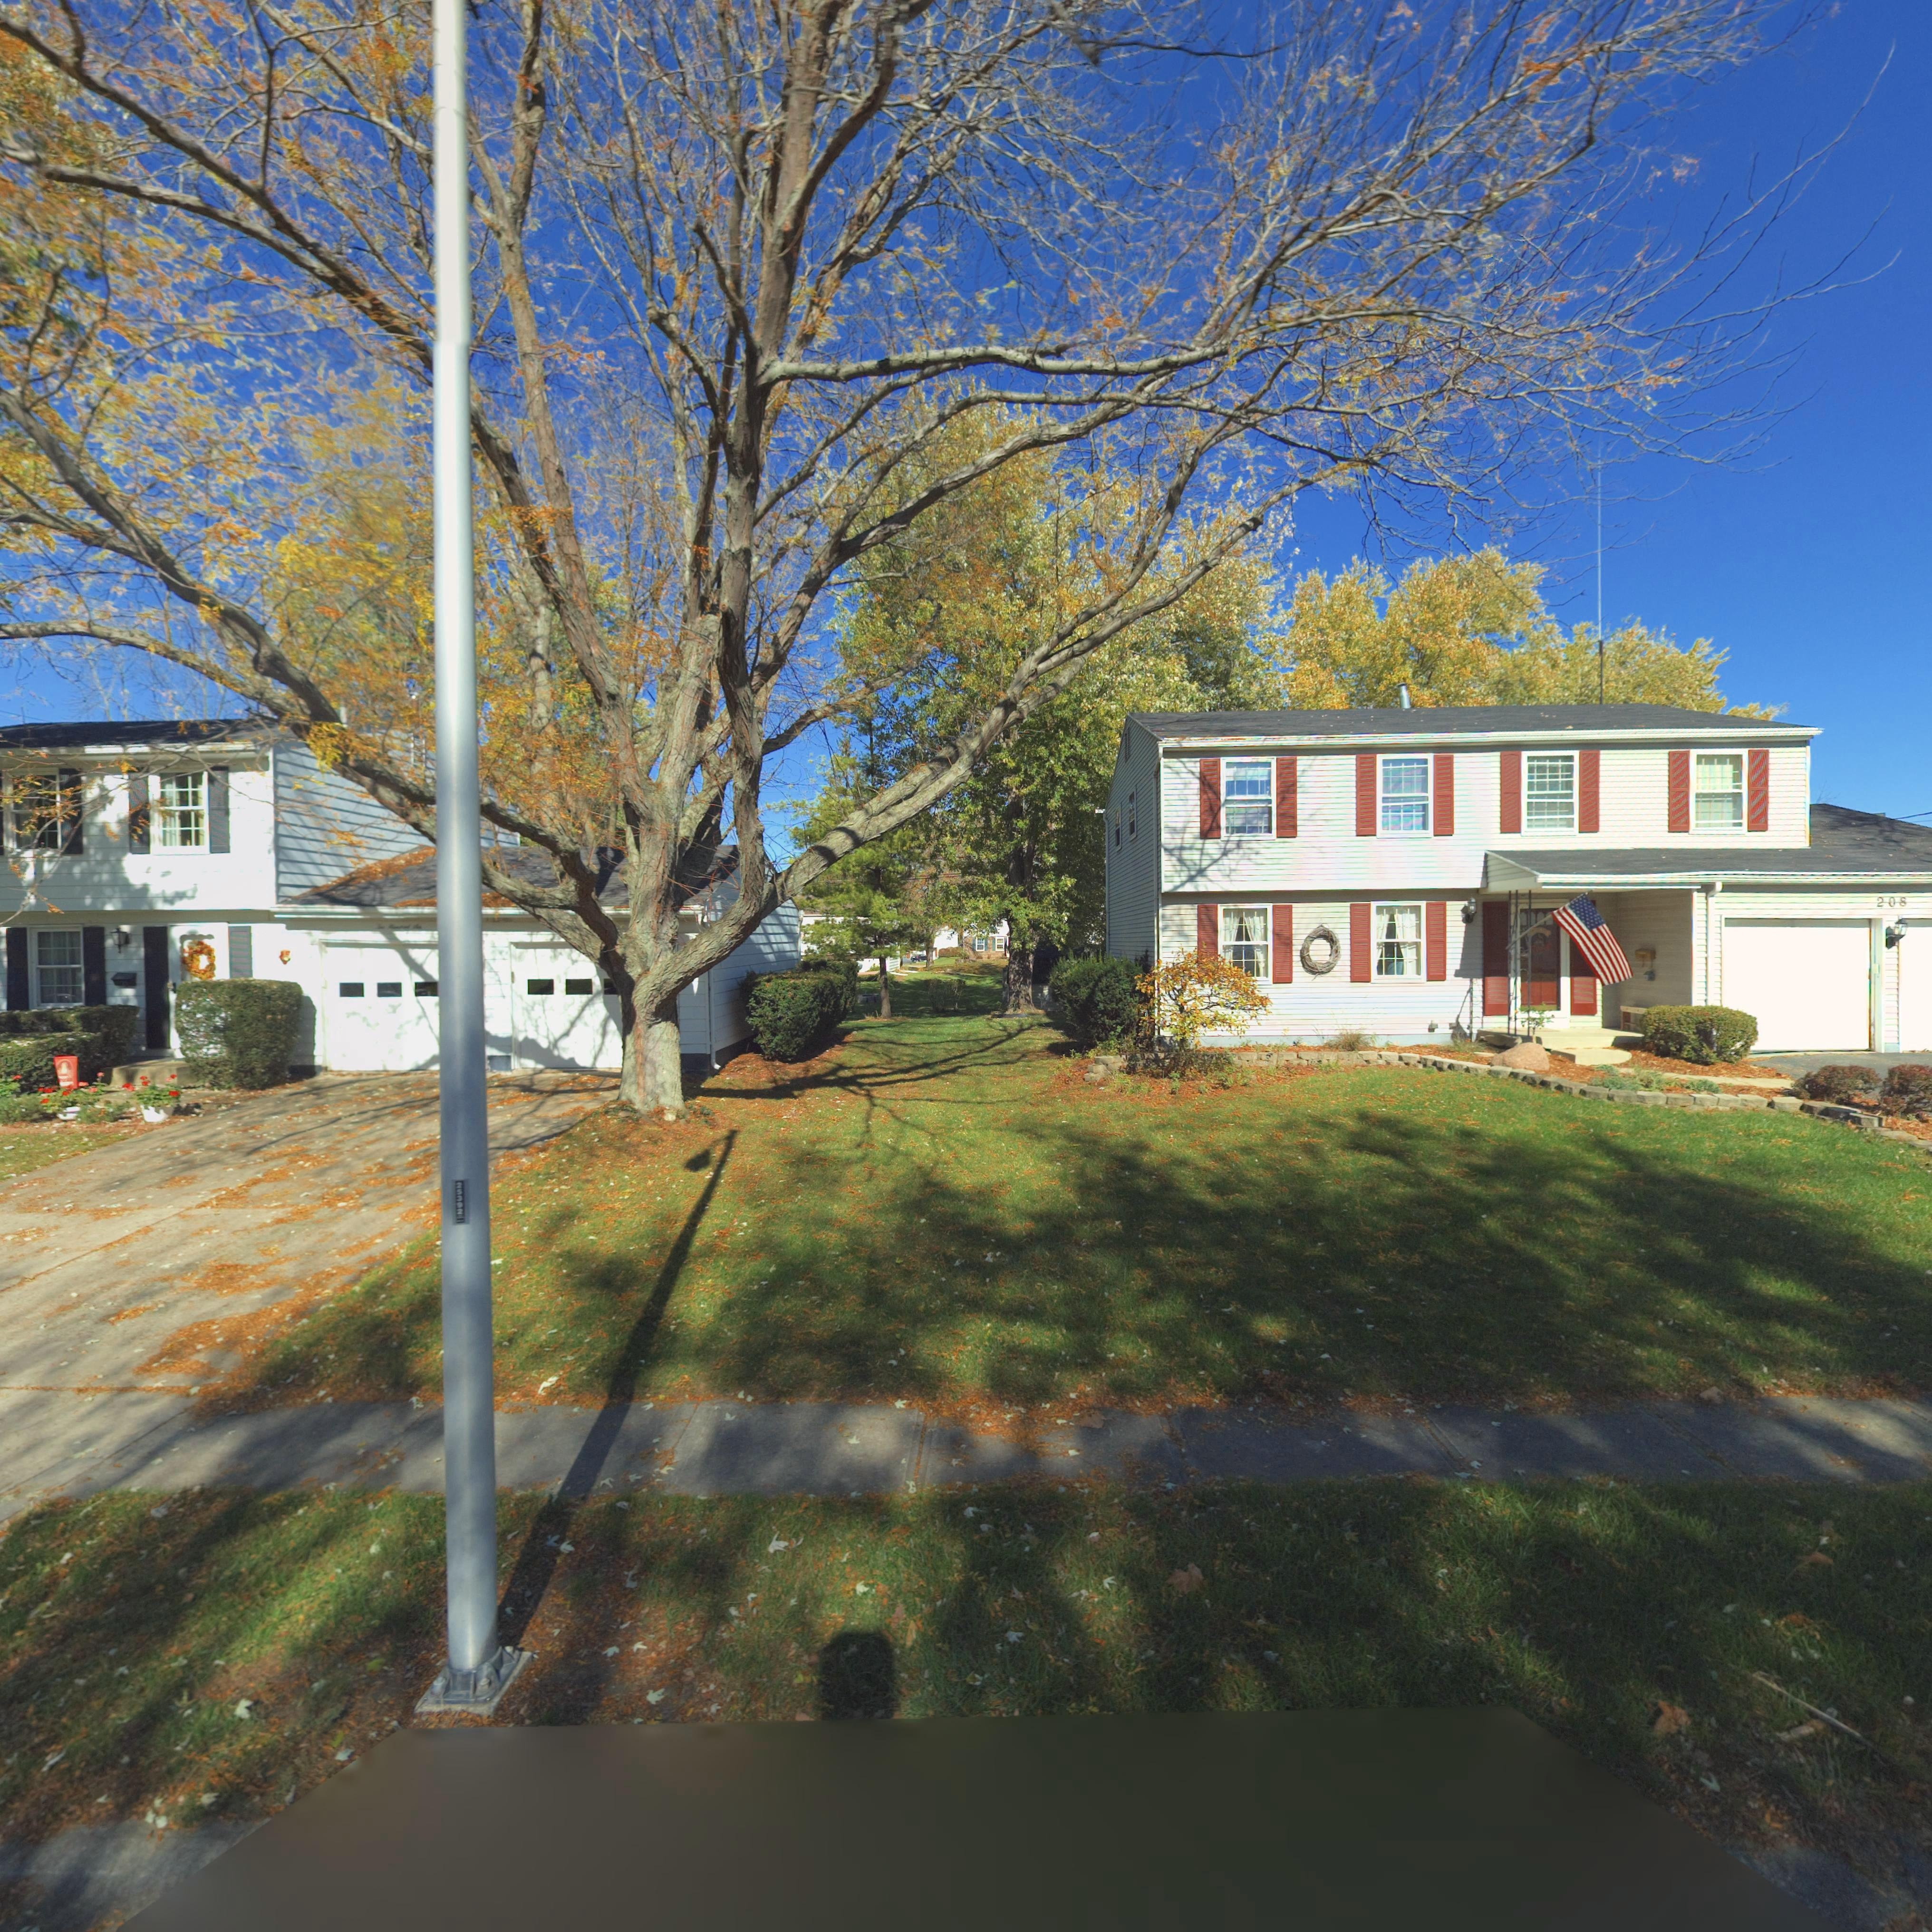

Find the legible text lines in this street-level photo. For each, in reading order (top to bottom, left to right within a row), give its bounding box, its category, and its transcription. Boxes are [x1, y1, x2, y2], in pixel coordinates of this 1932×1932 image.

[1875, 895, 1908, 908] StreetNumber: 208